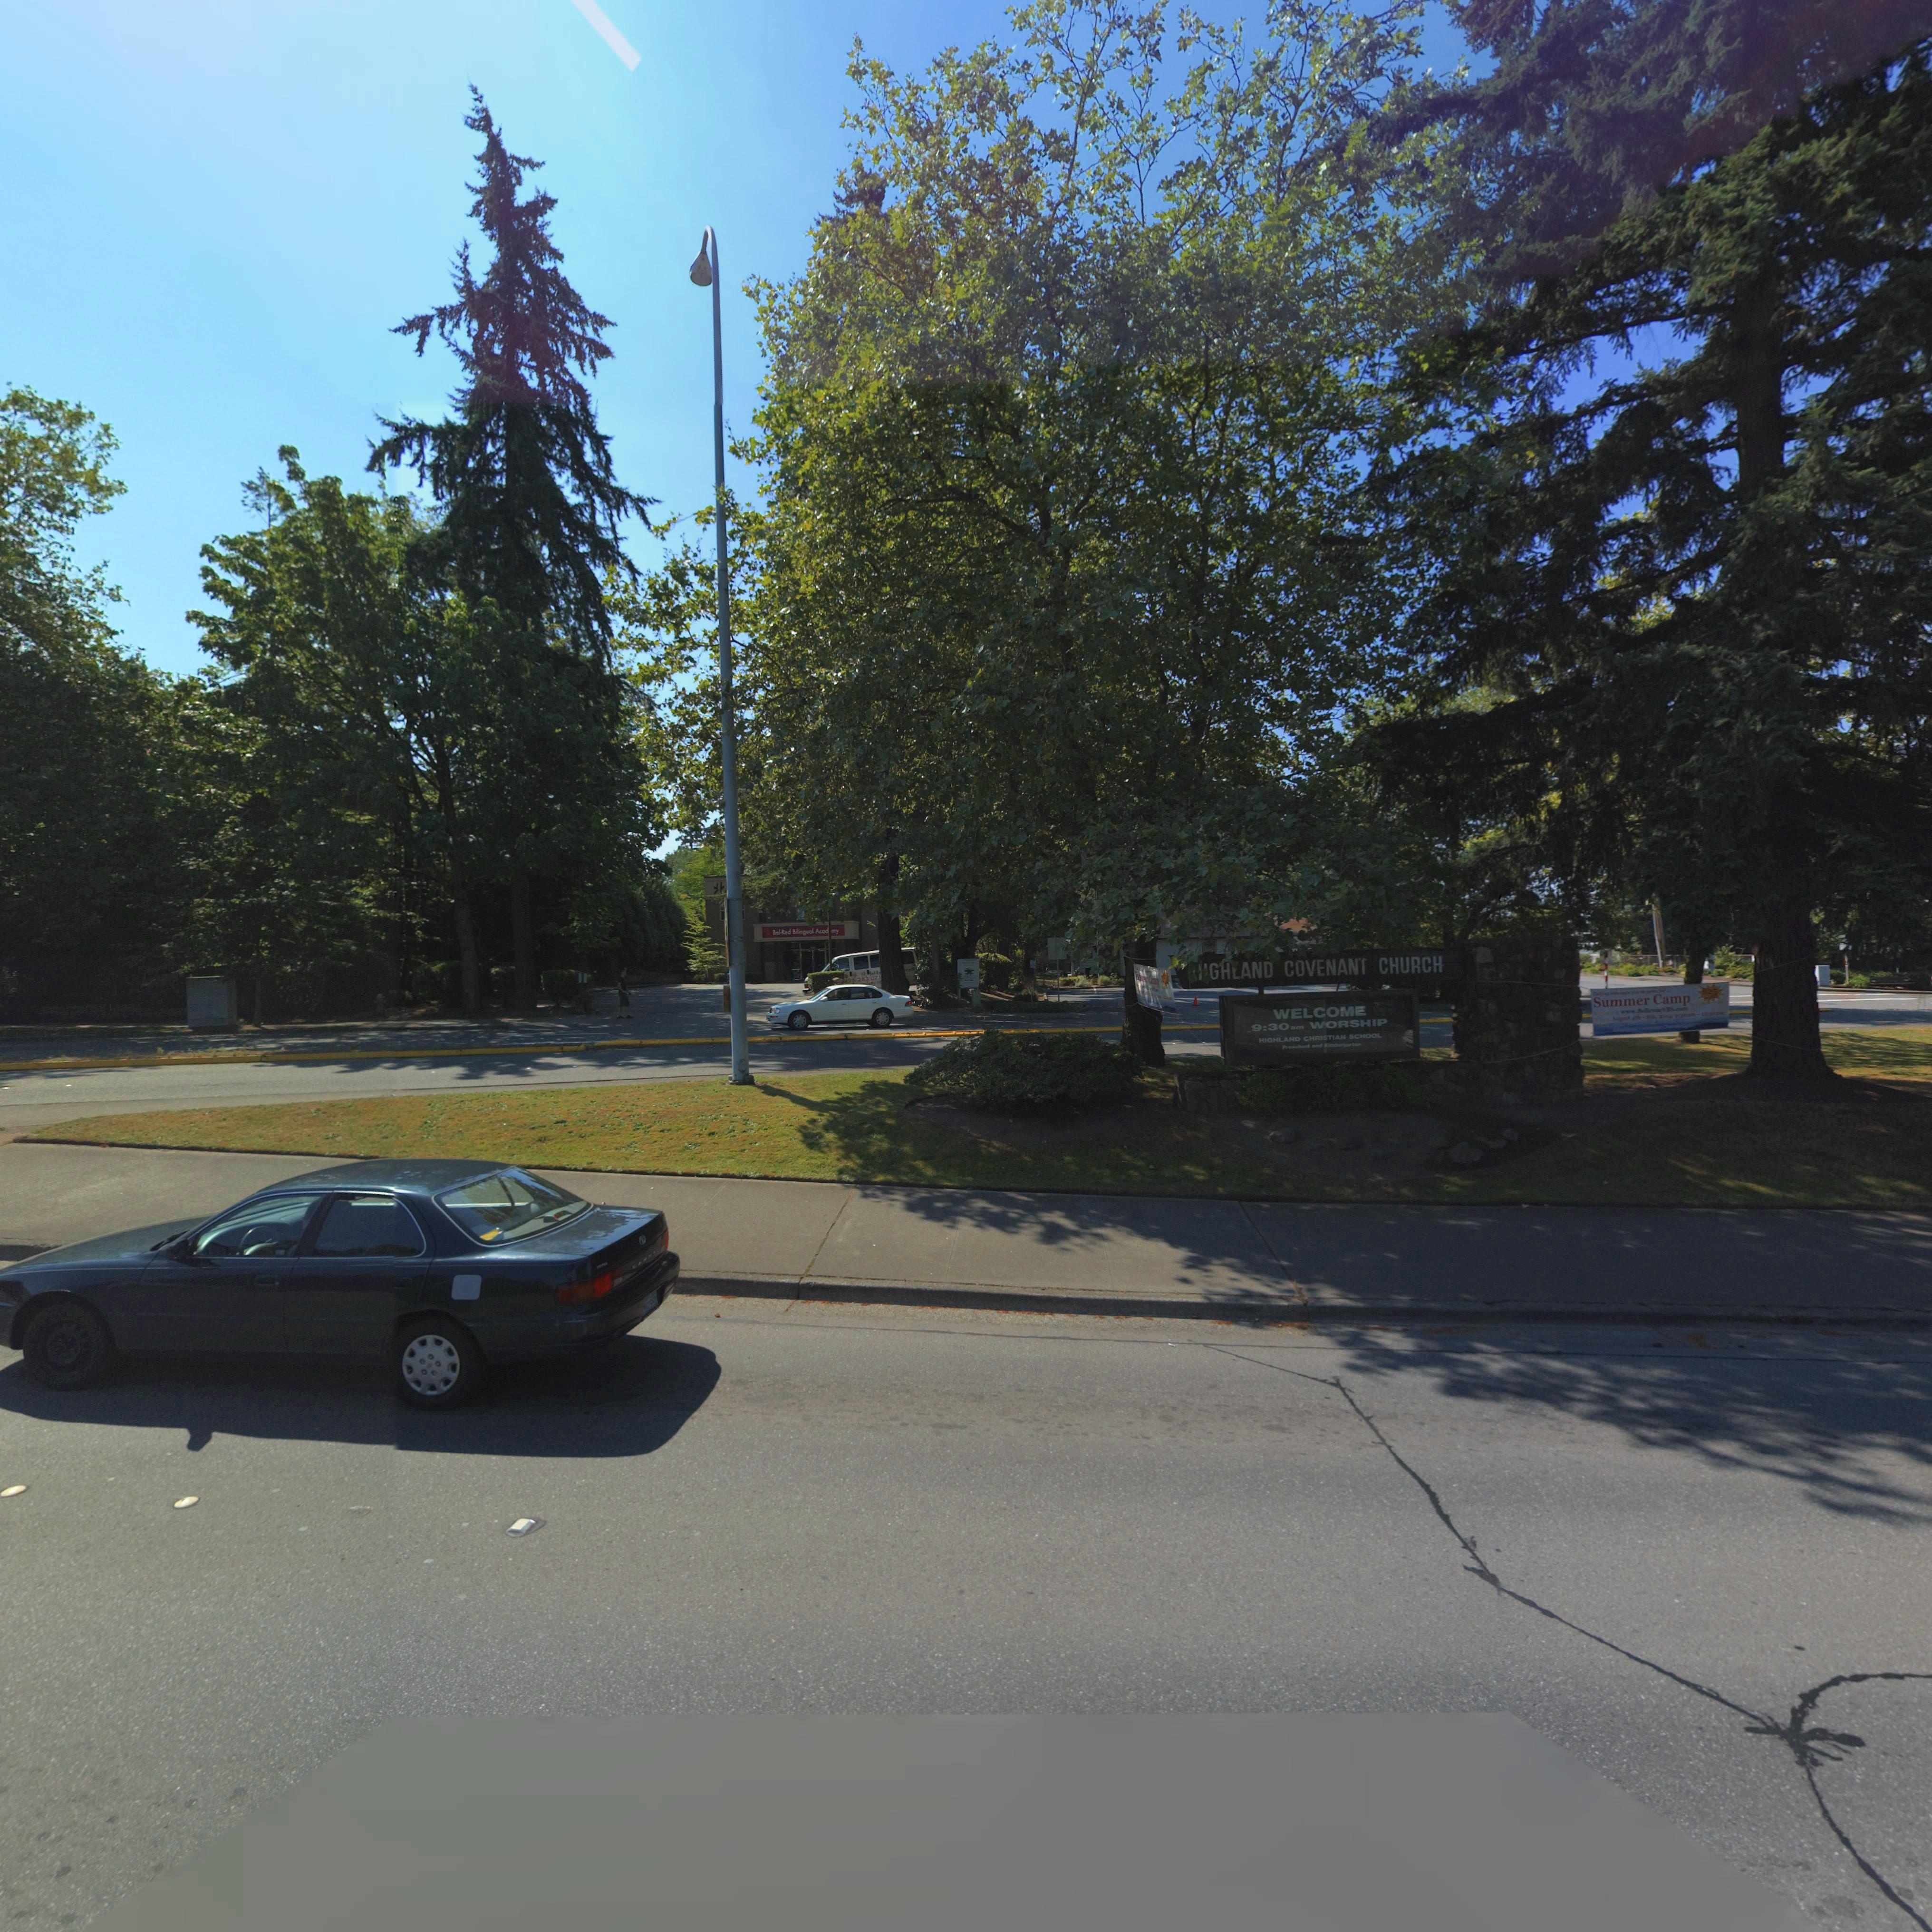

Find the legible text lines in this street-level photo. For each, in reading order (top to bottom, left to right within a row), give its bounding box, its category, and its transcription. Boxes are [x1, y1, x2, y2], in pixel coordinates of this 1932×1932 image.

[773, 928, 840, 935] BusinessName: Bel-Red Bilingual Acad* my
[1189, 956, 1444, 981] BusinessName: **GH*AND COVENANT CHURCH